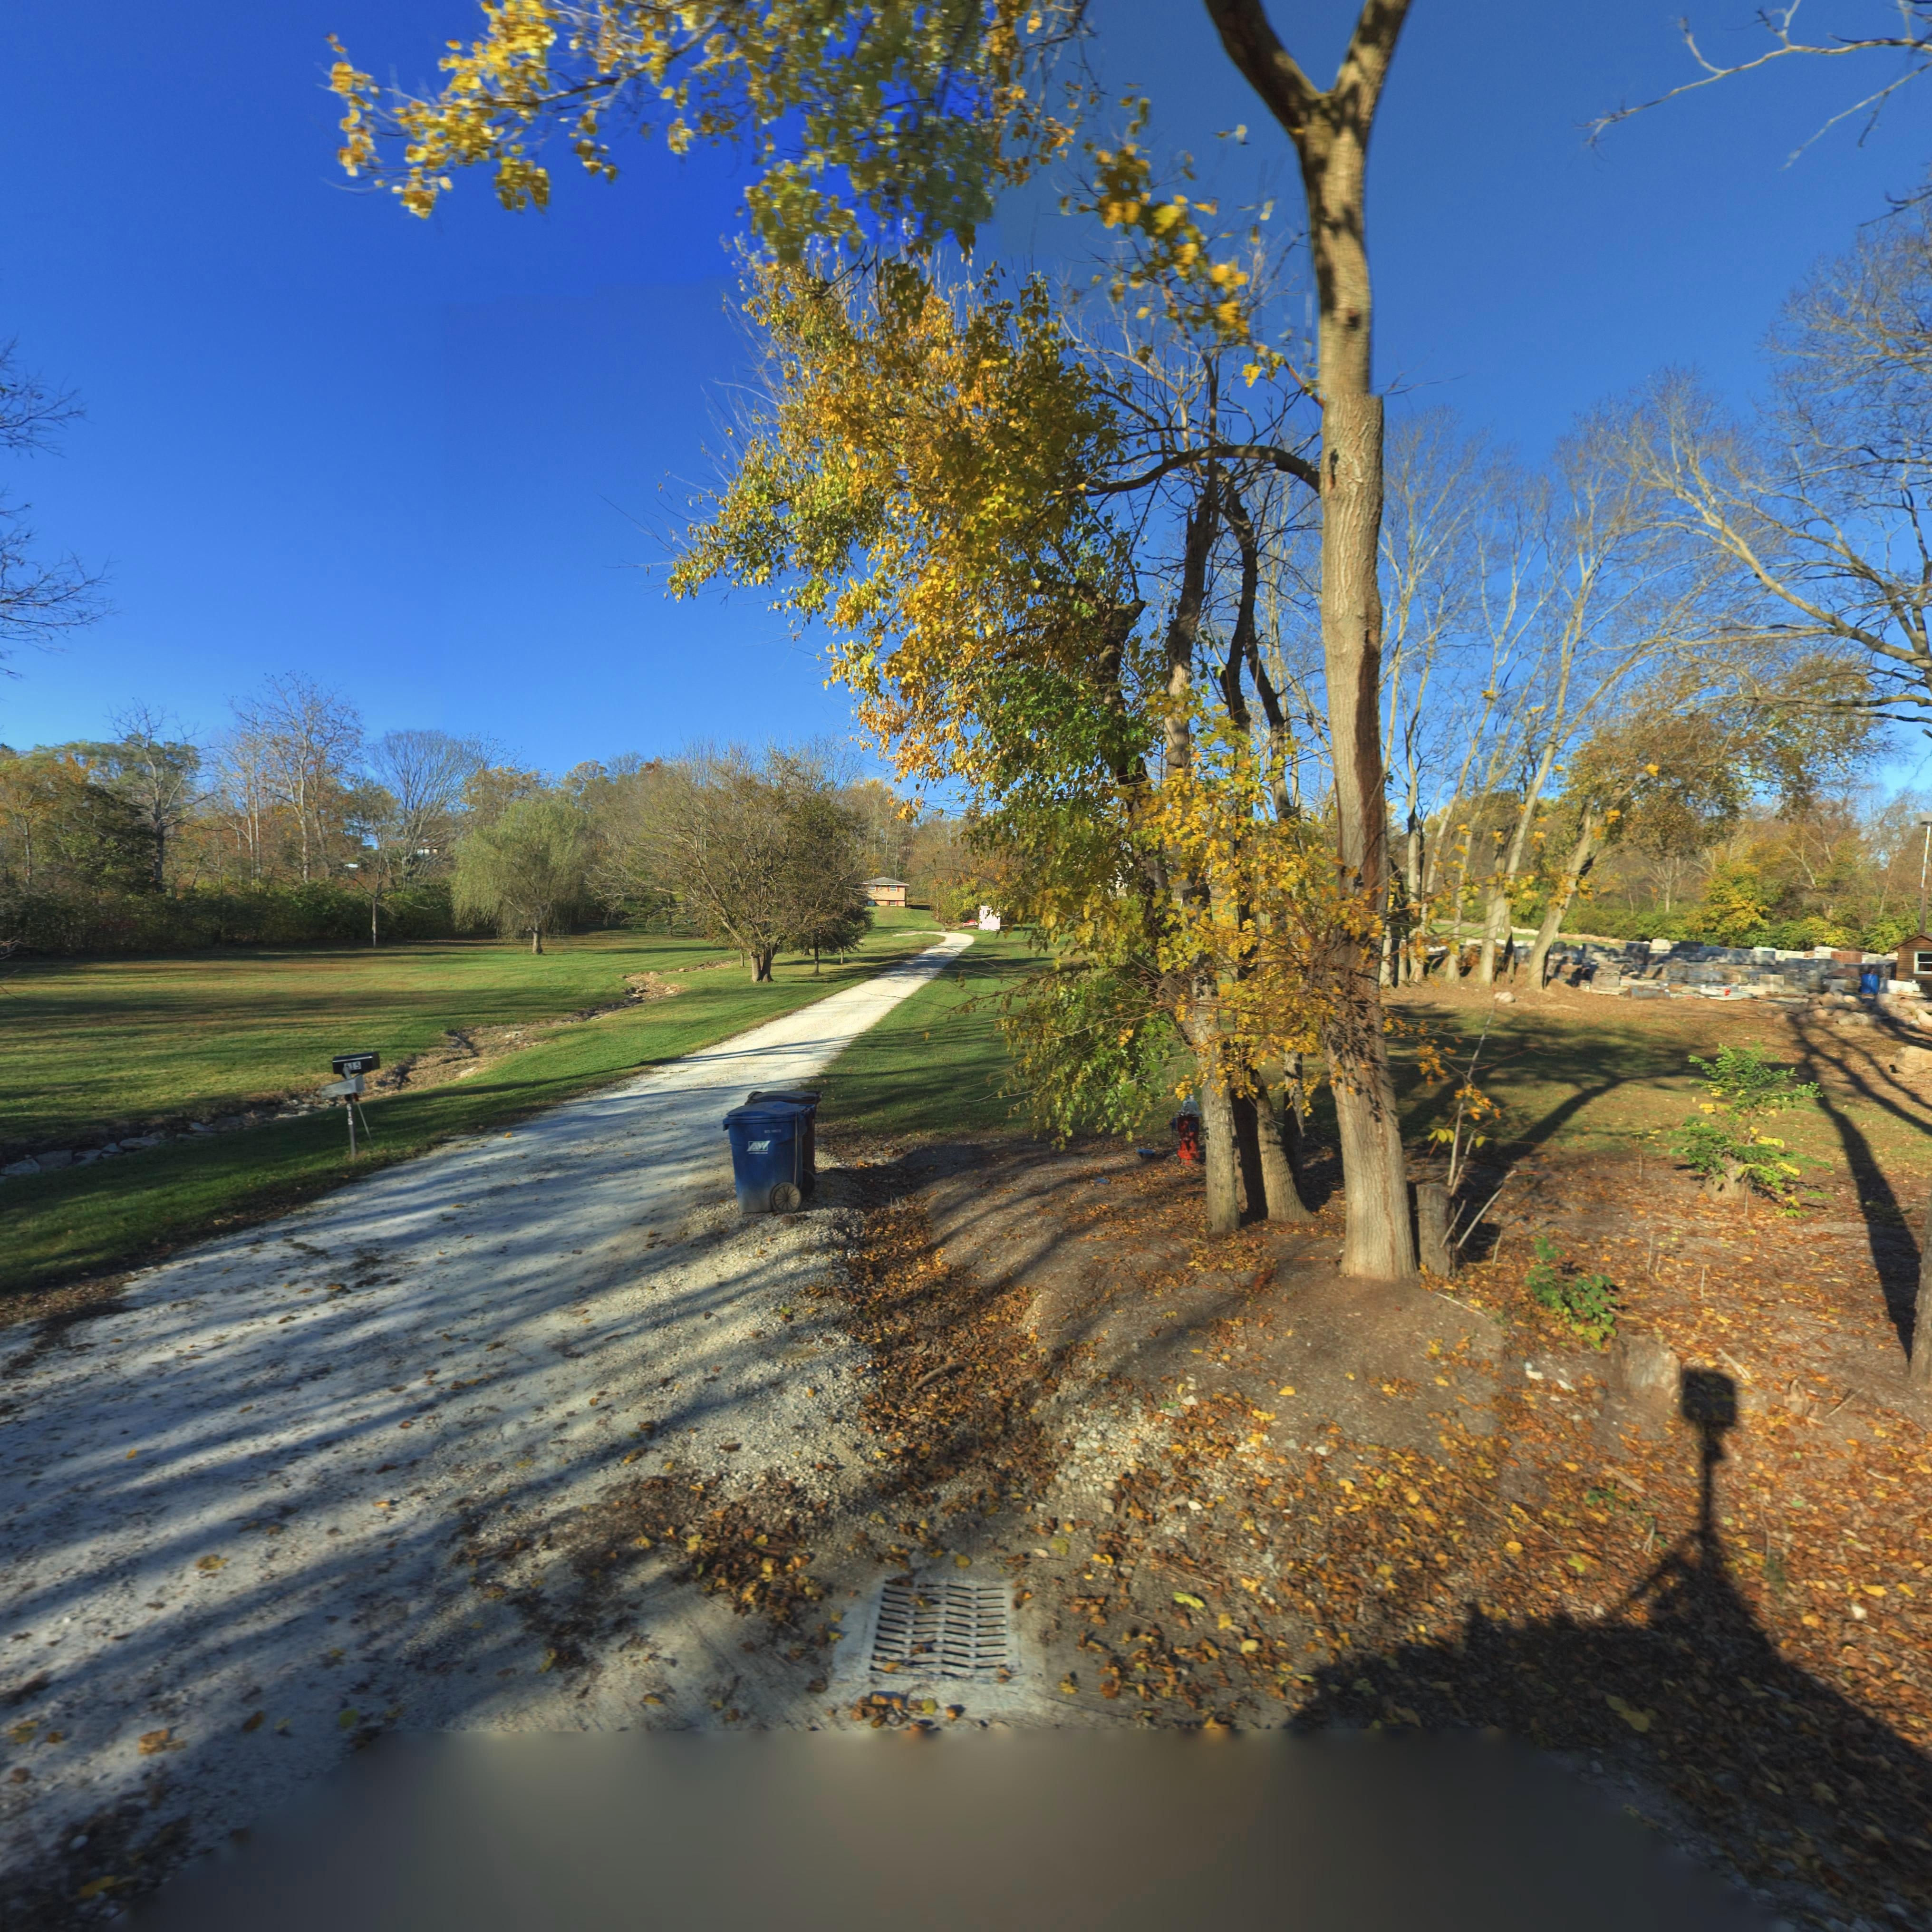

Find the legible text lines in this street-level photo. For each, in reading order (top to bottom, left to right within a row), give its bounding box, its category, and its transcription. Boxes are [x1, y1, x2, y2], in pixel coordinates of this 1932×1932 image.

[345, 1062, 360, 1070] StreetNumber: *15
[346, 1103, 354, 1126] StreetNumber: 615
[745, 1140, 773, 1152] None: AW